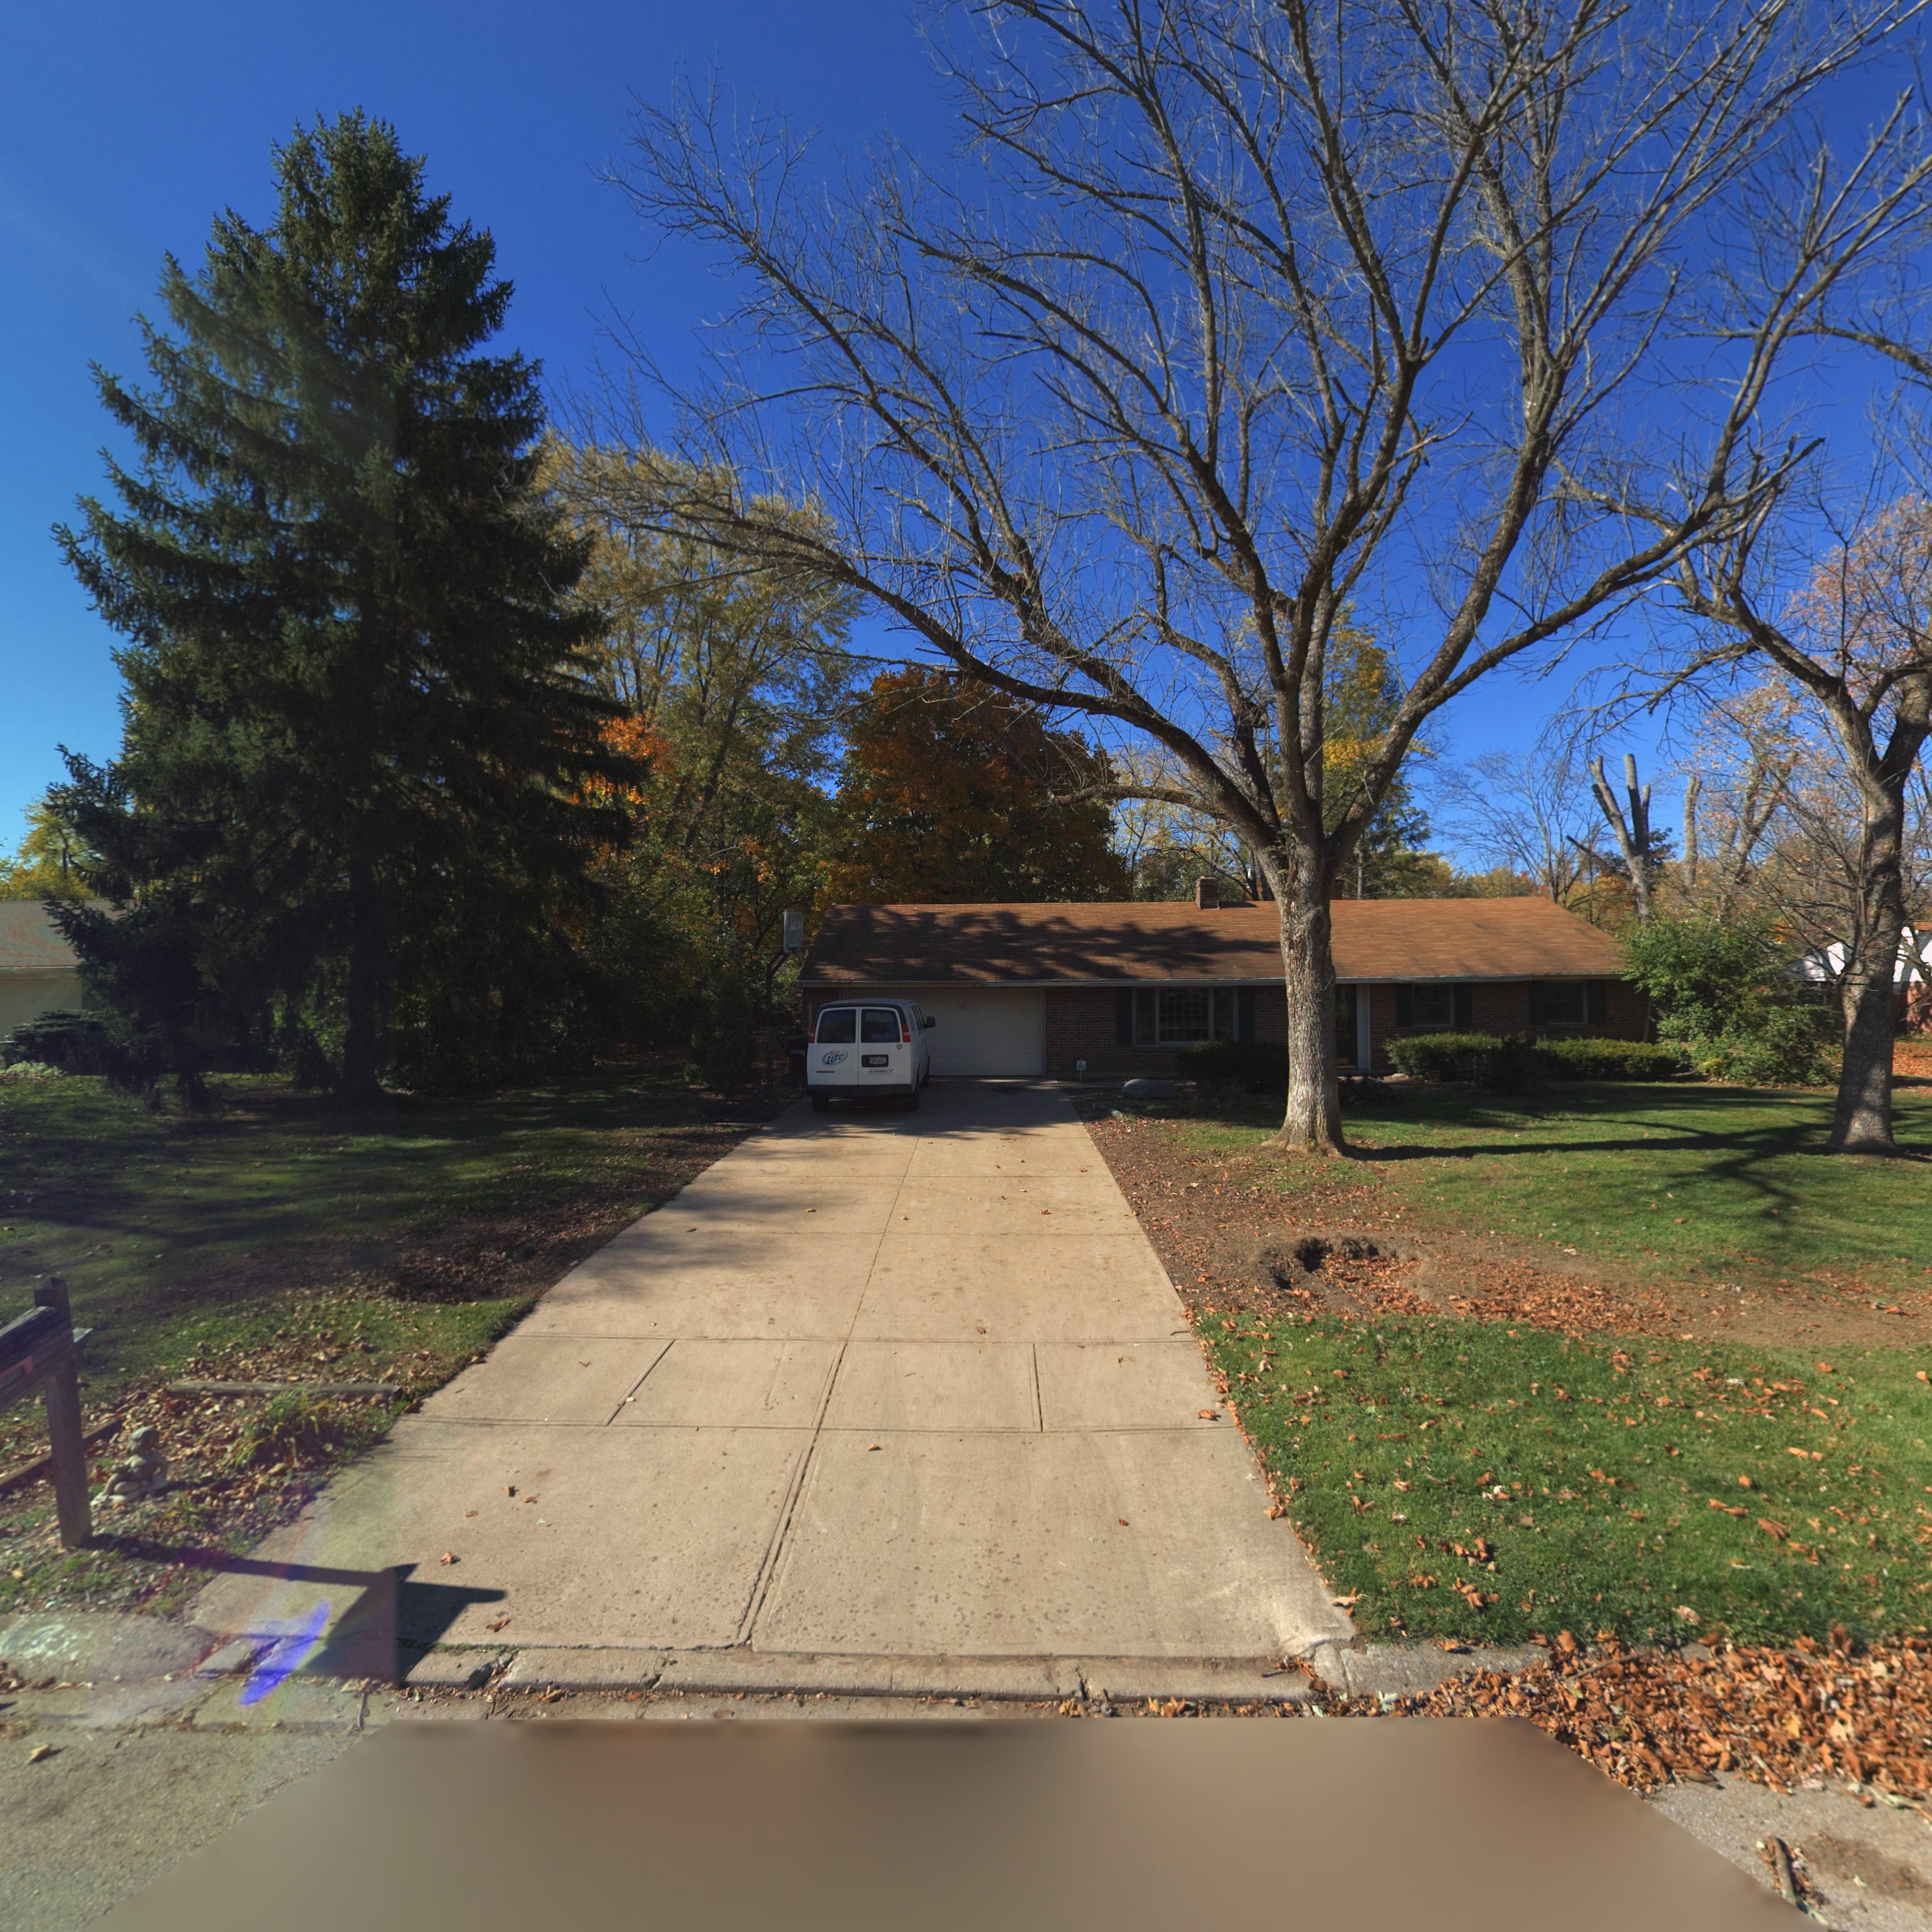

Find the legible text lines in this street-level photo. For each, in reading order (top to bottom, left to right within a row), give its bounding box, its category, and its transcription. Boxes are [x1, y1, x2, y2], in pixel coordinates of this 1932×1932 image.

[22, 1626, 58, 1652] StreetNumber: 6